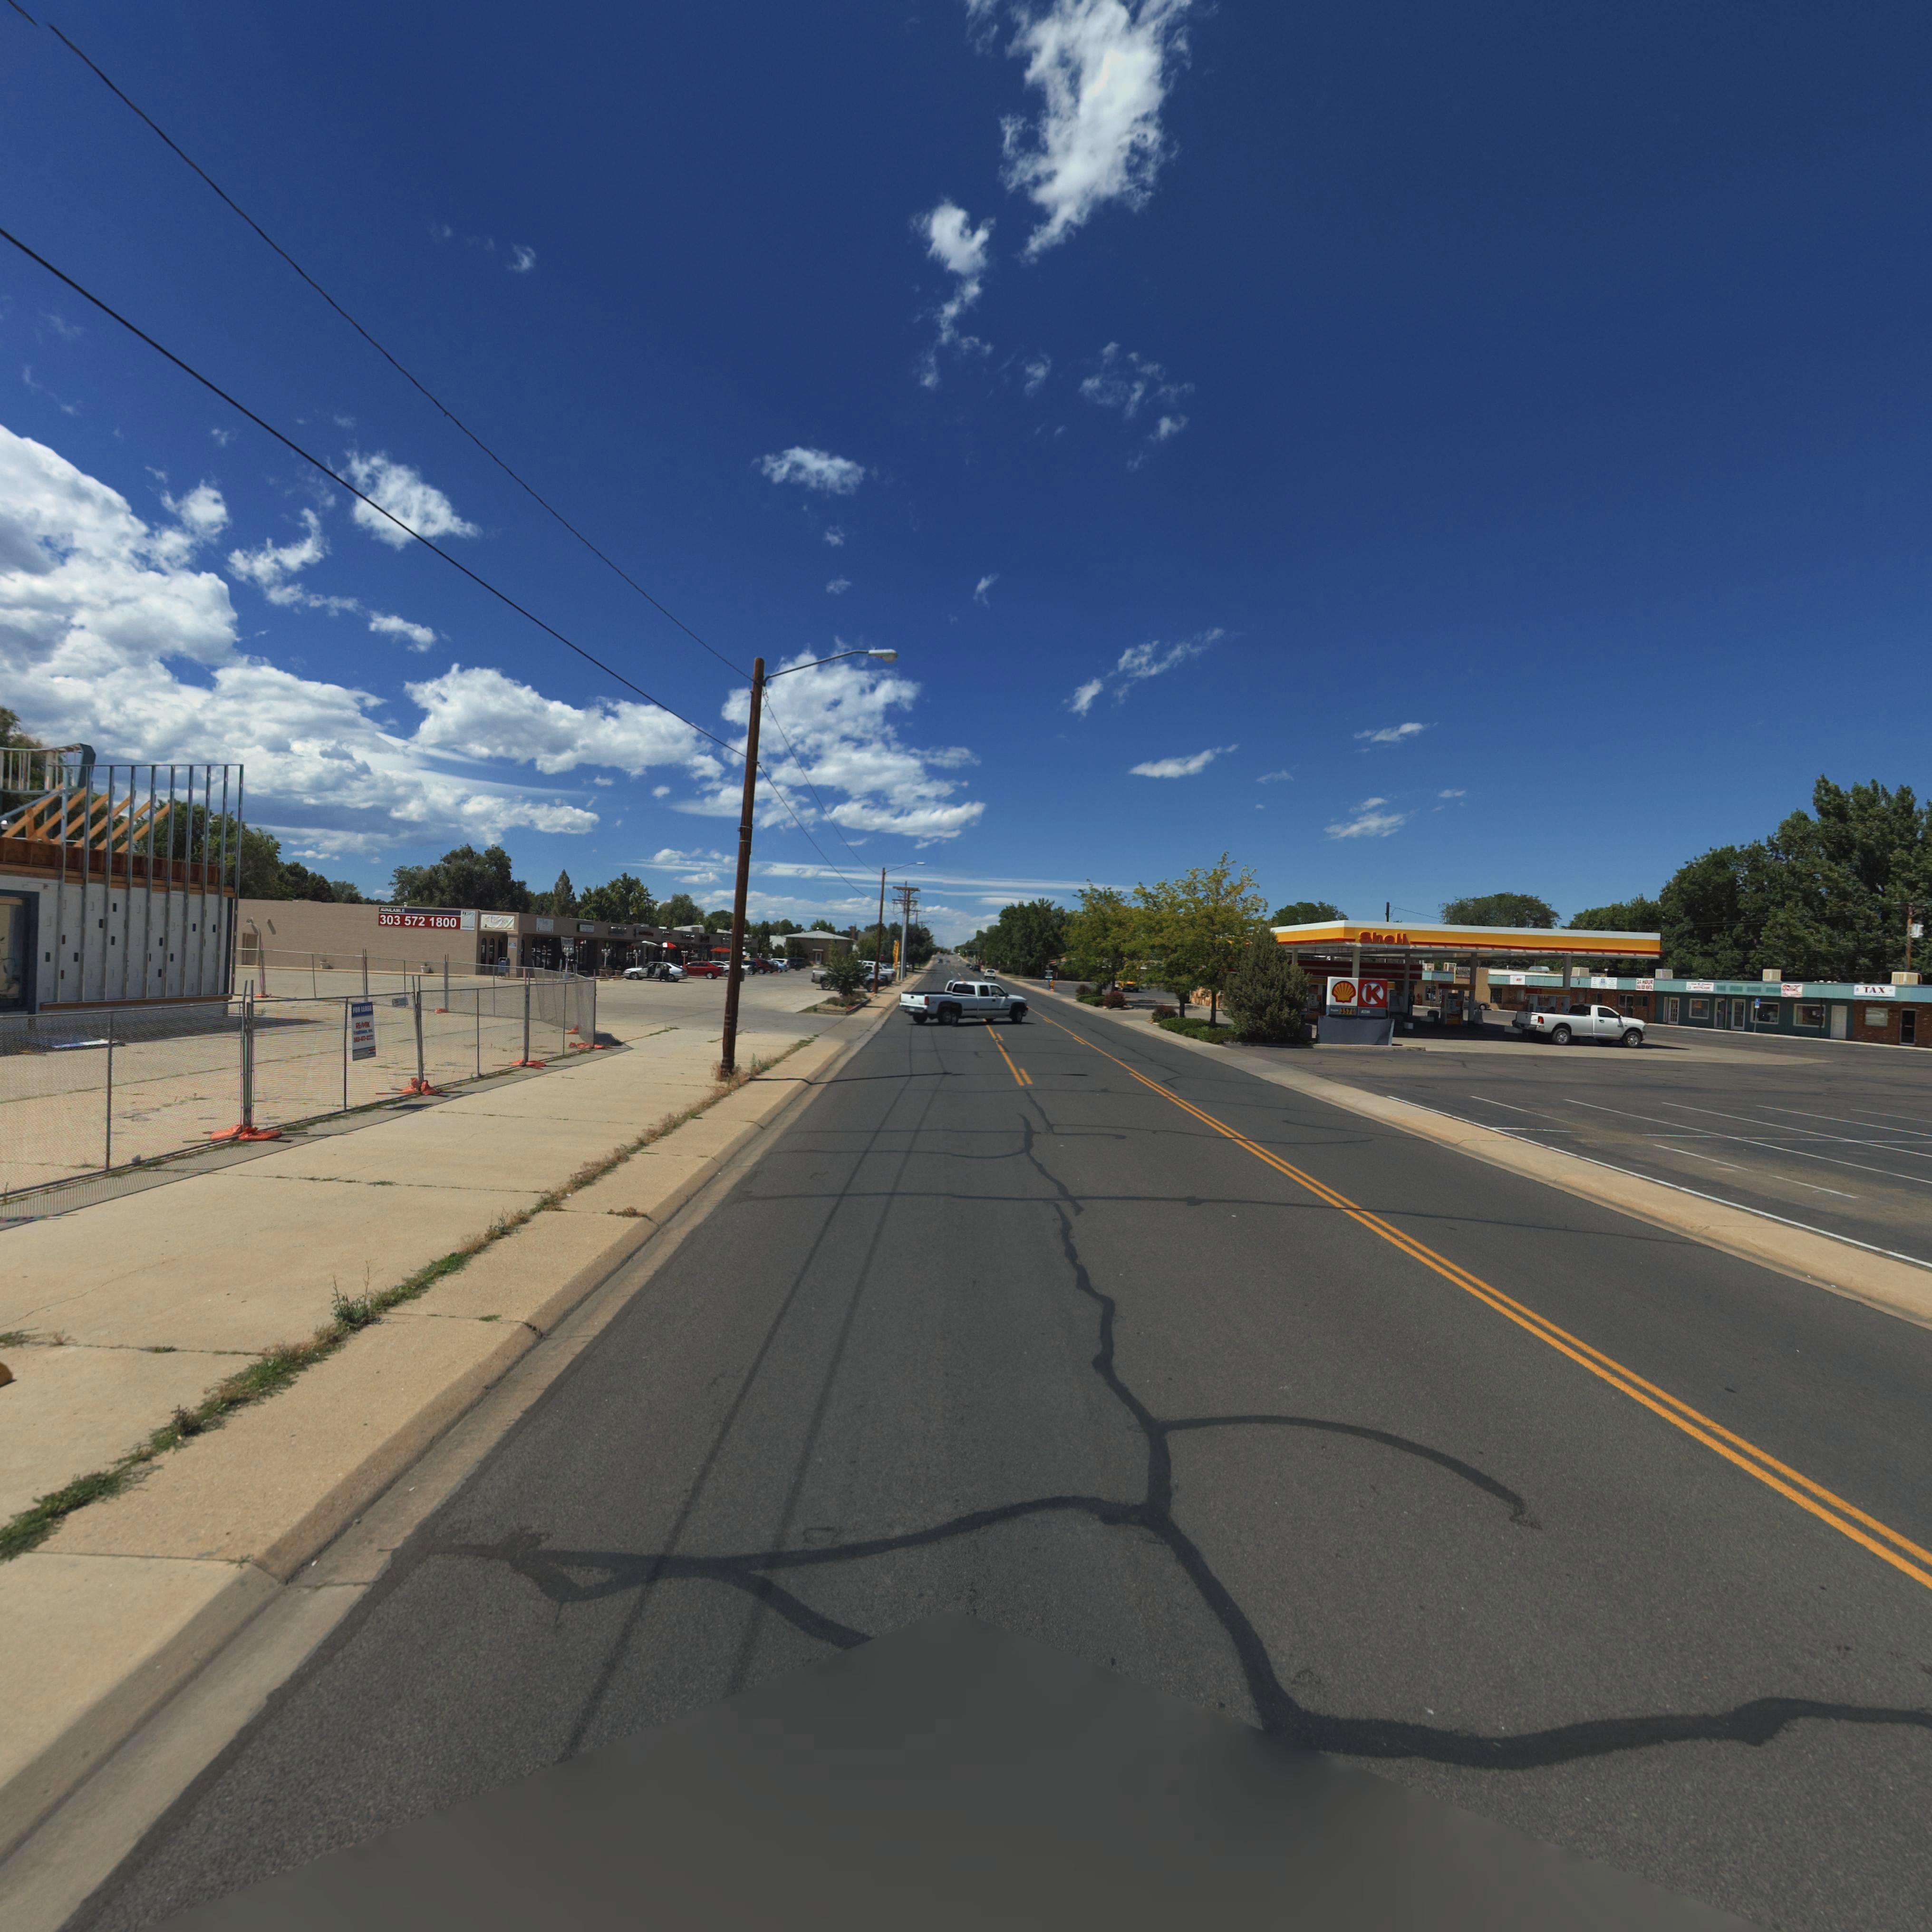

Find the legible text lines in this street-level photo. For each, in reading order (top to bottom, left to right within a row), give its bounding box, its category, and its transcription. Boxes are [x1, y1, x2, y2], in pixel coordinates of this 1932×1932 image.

[1358, 932, 1406, 944] BusinessName: Shell
[1366, 985, 1381, 1003] BusinessName: K